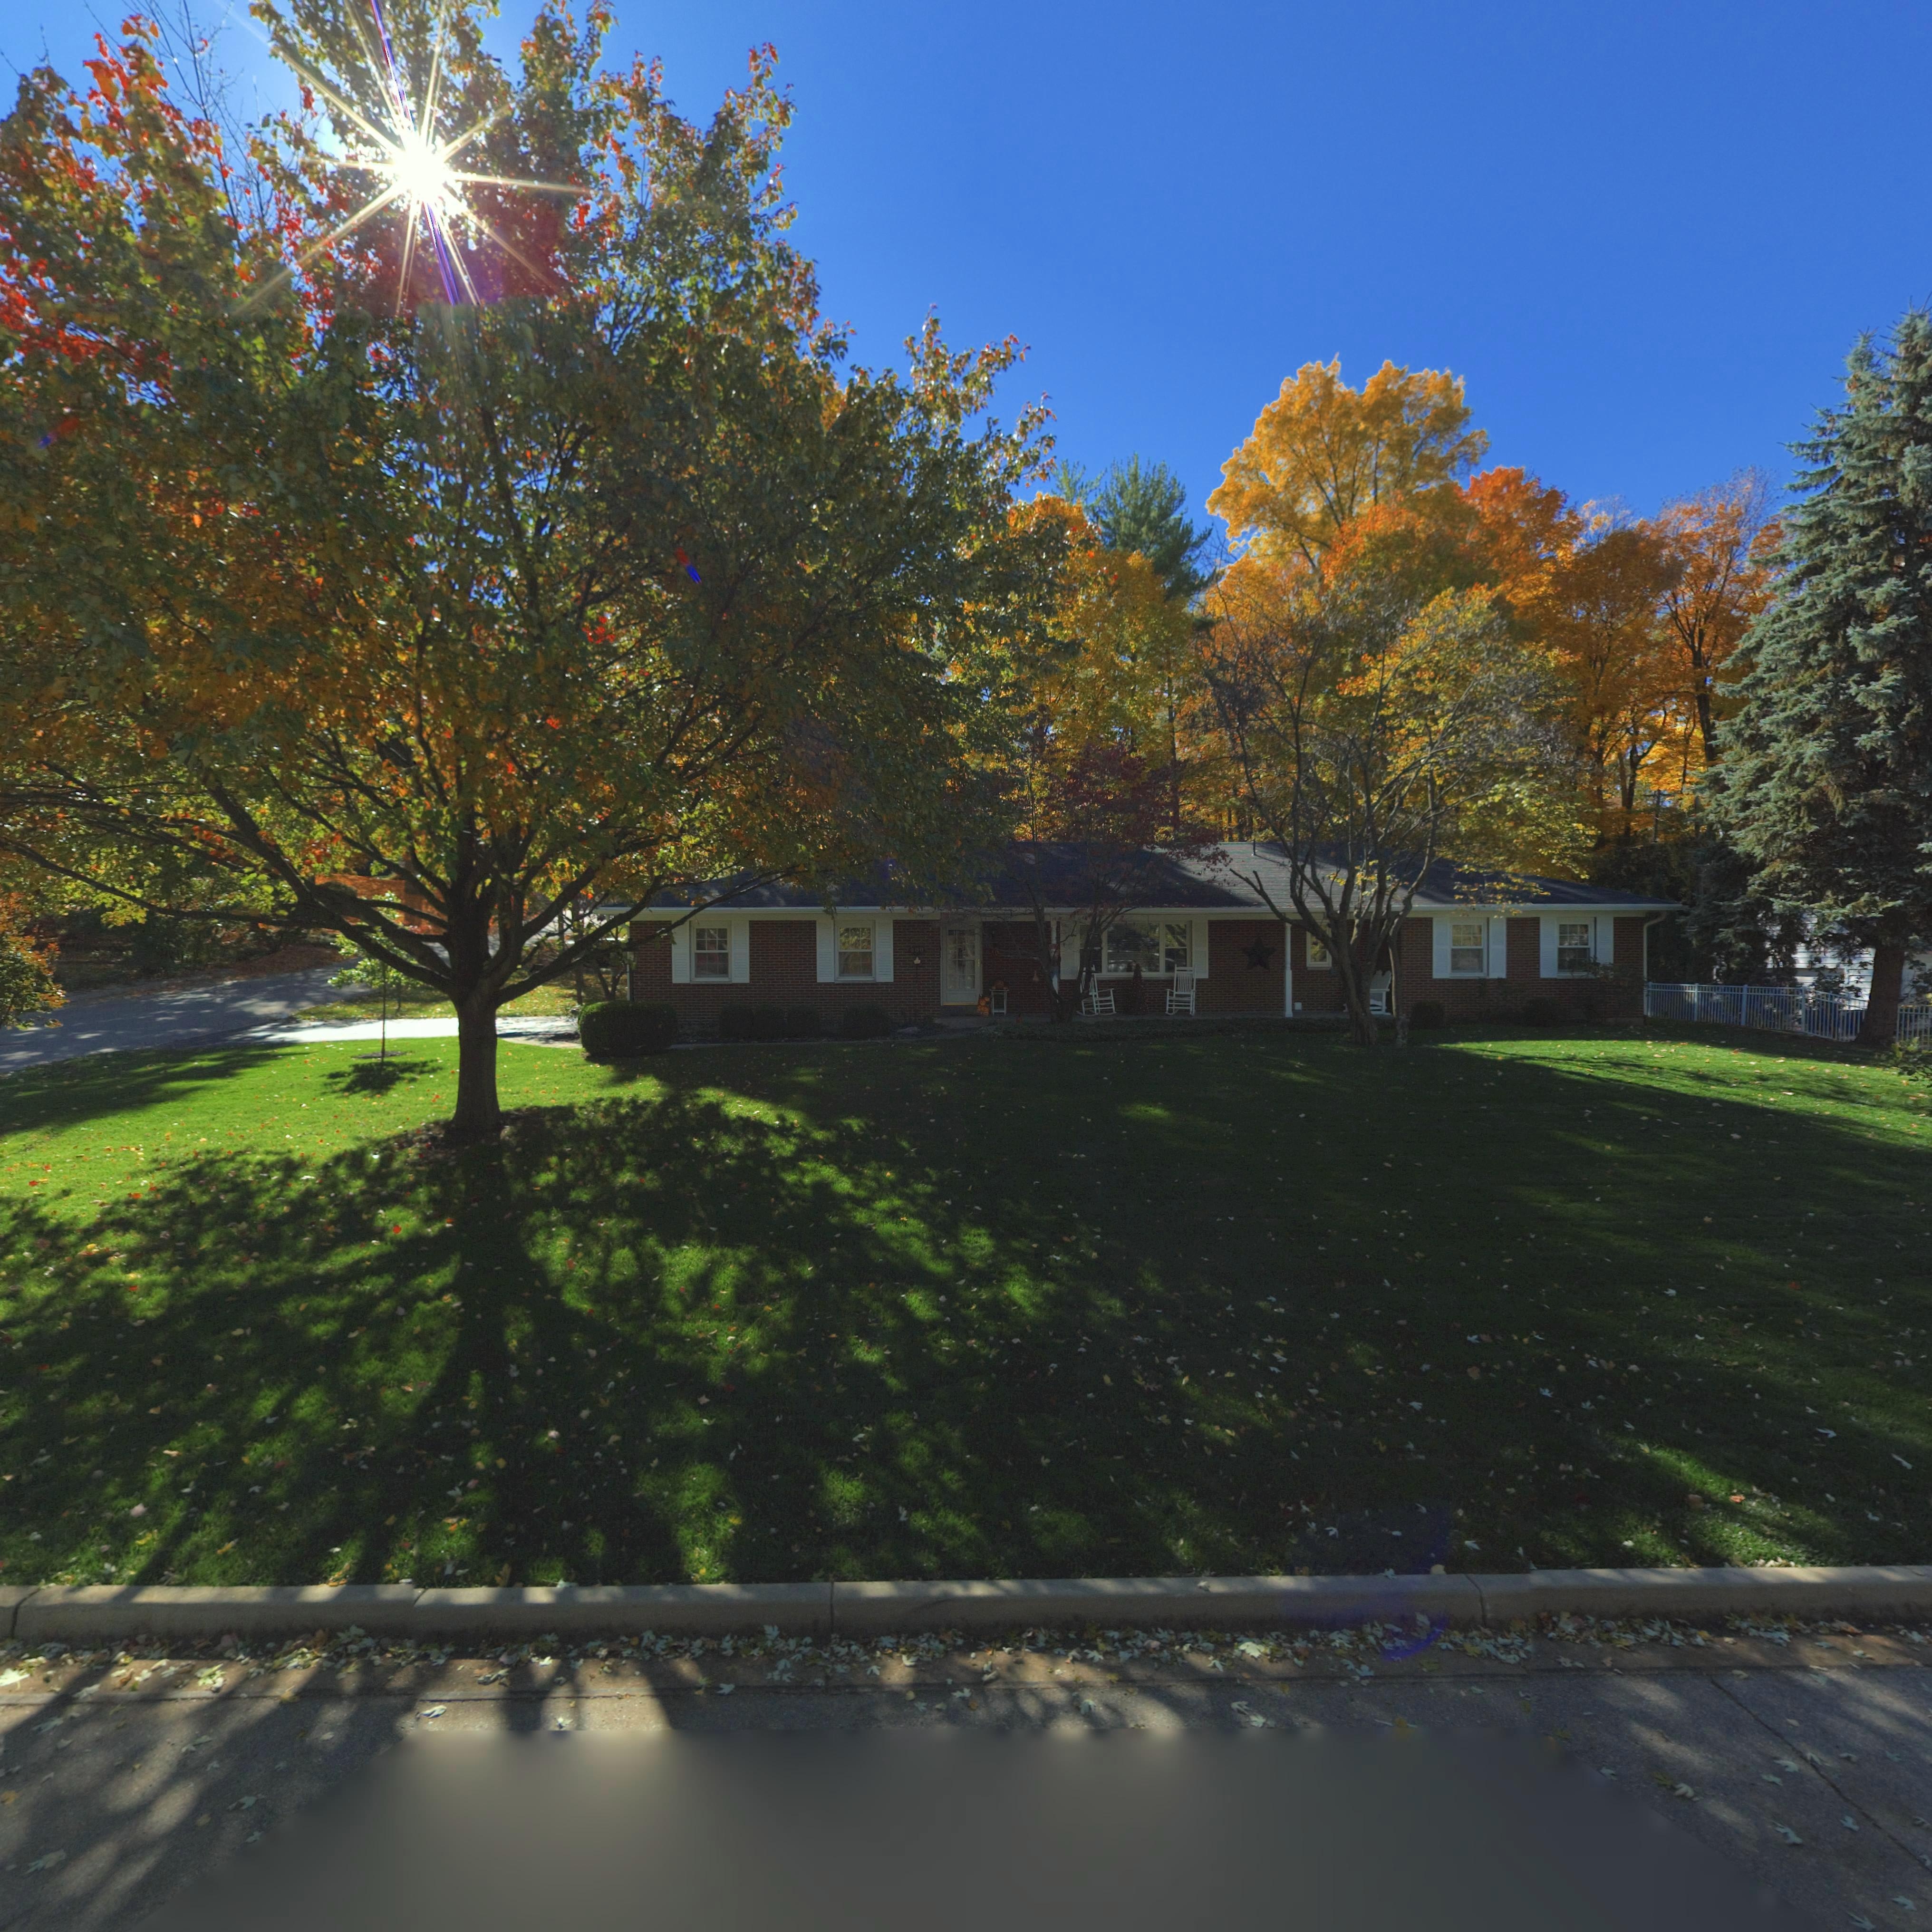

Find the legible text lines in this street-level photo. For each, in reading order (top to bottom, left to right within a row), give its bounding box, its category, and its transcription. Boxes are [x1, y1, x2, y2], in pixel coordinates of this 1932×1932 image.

[909, 947, 924, 953] StreetNumber: 400